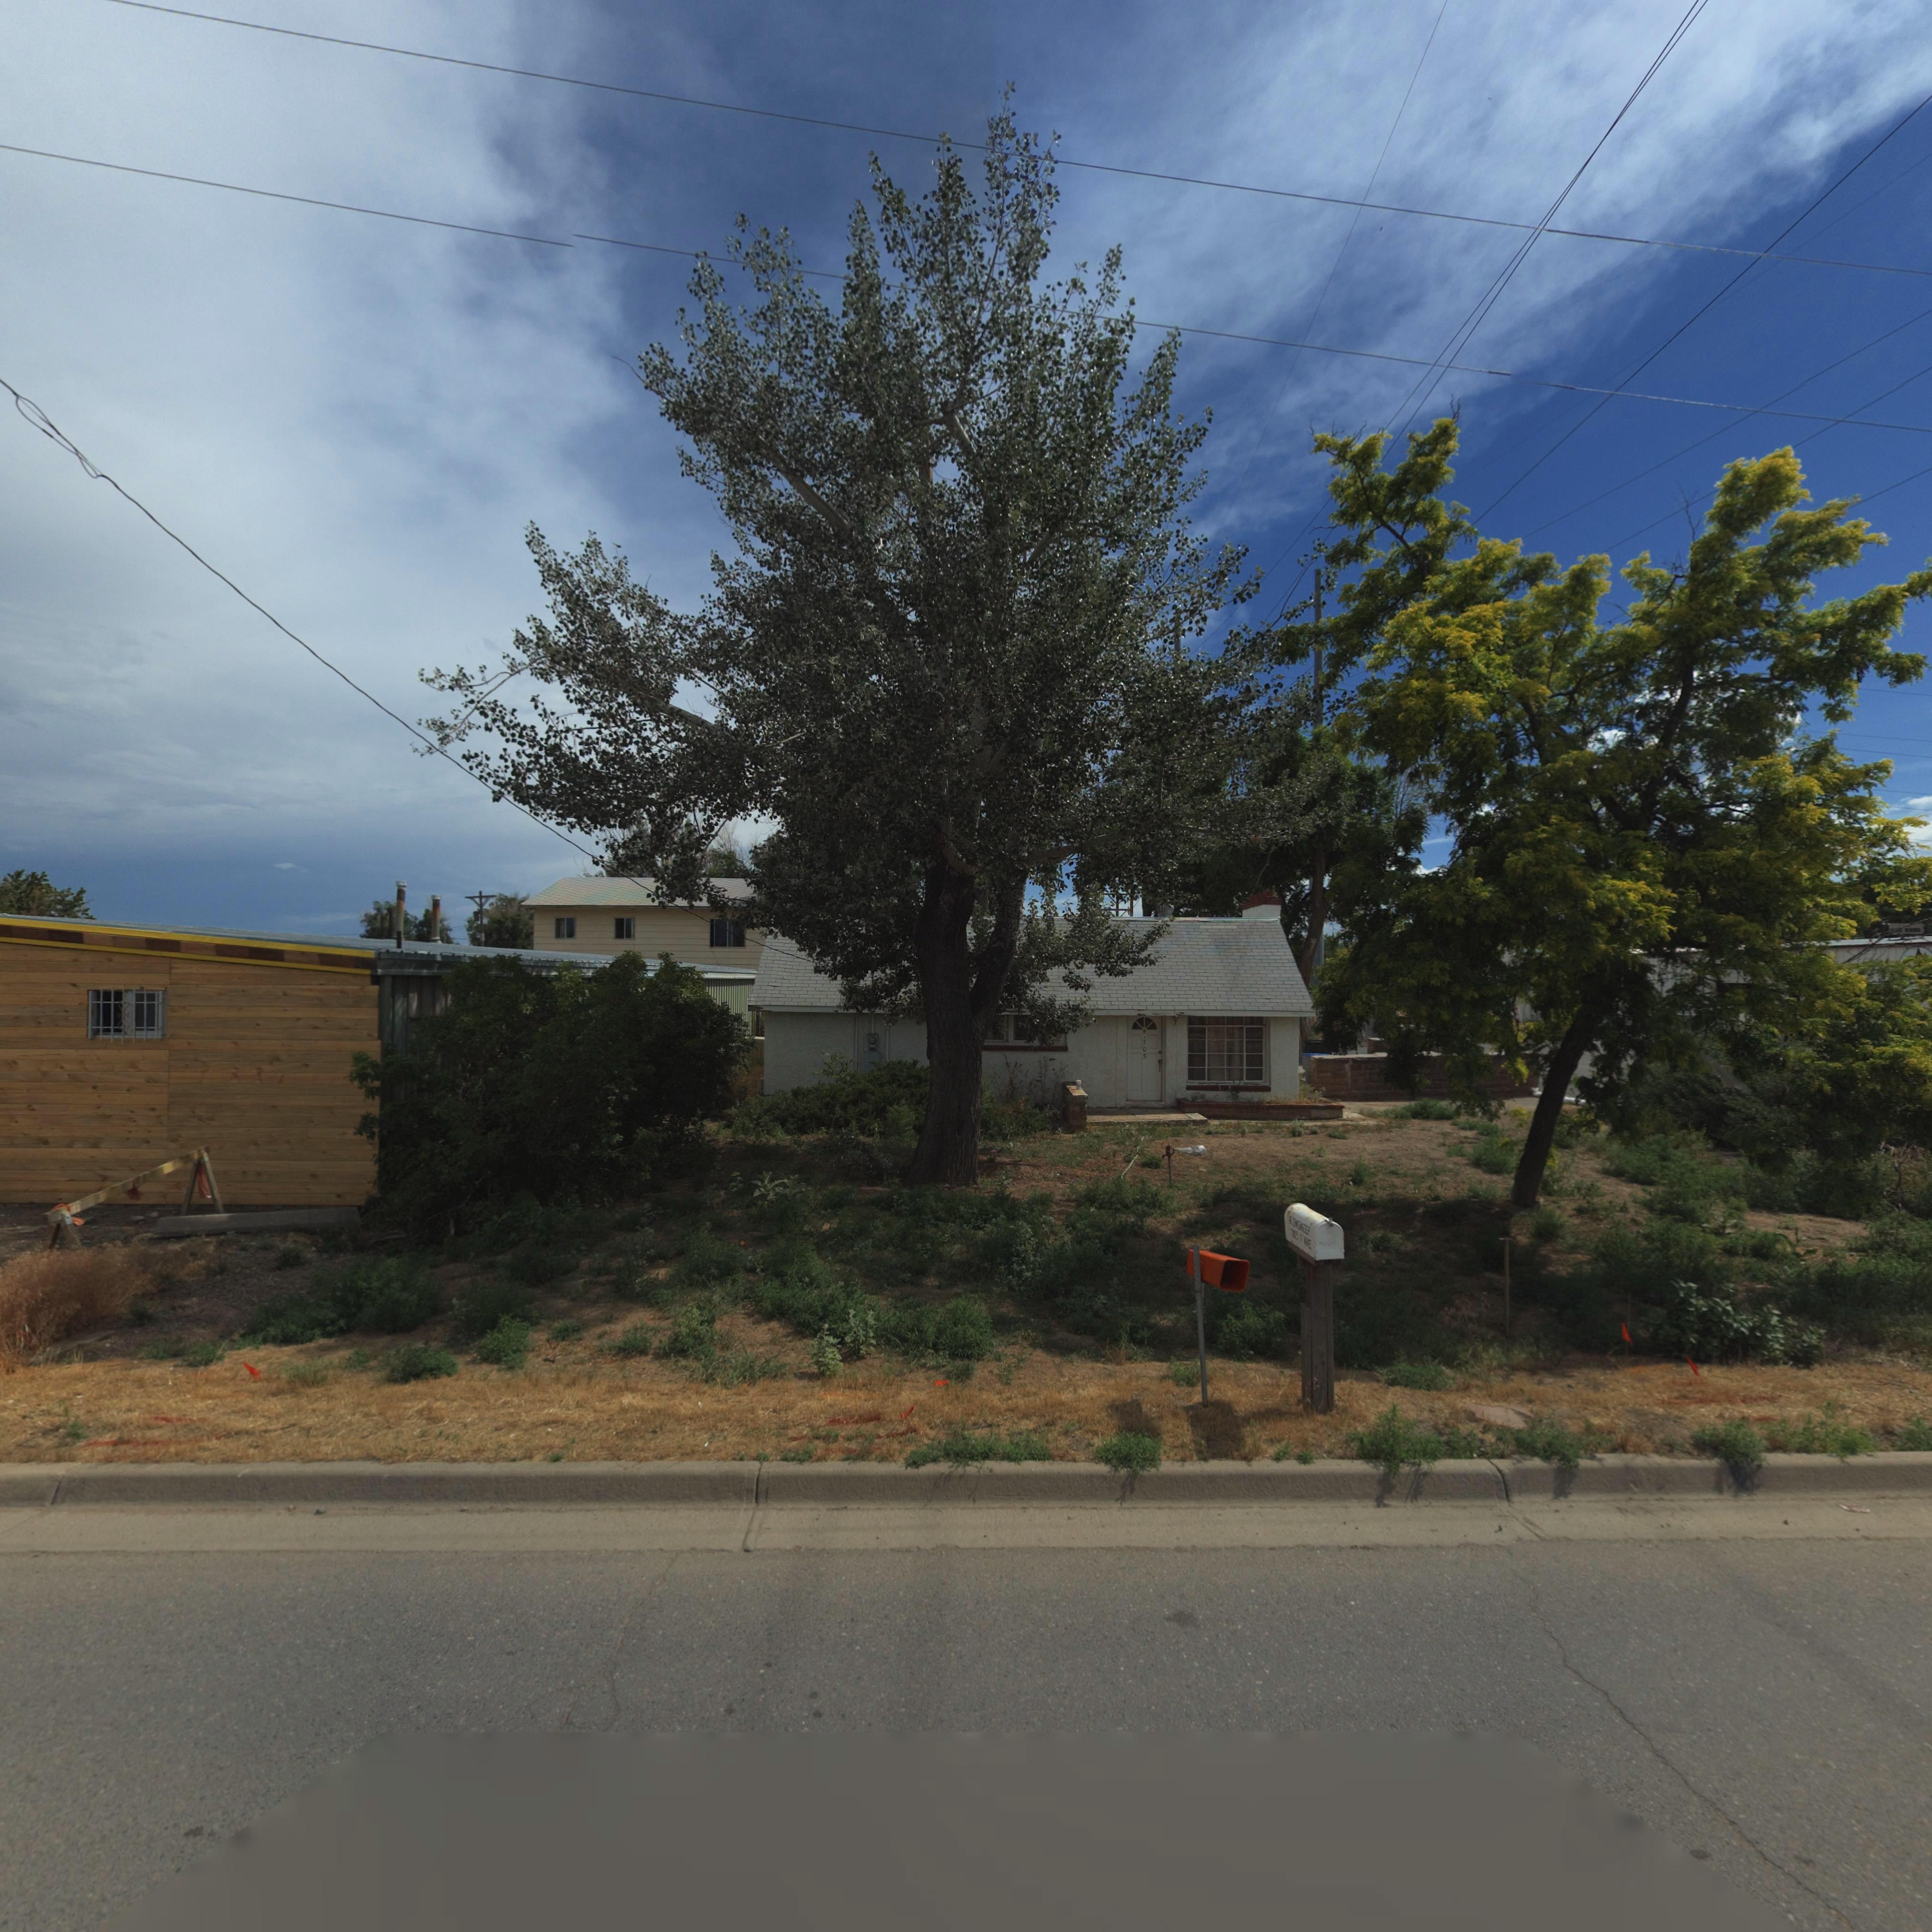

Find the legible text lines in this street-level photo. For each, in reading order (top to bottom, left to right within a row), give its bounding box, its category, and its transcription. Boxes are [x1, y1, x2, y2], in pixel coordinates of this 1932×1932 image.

[1142, 1038, 1147, 1059] StreetNumber: 705
[1290, 1227, 1299, 1240] StreetNumber: 705
[1299, 1233, 1312, 1249] StreetName: ** **E